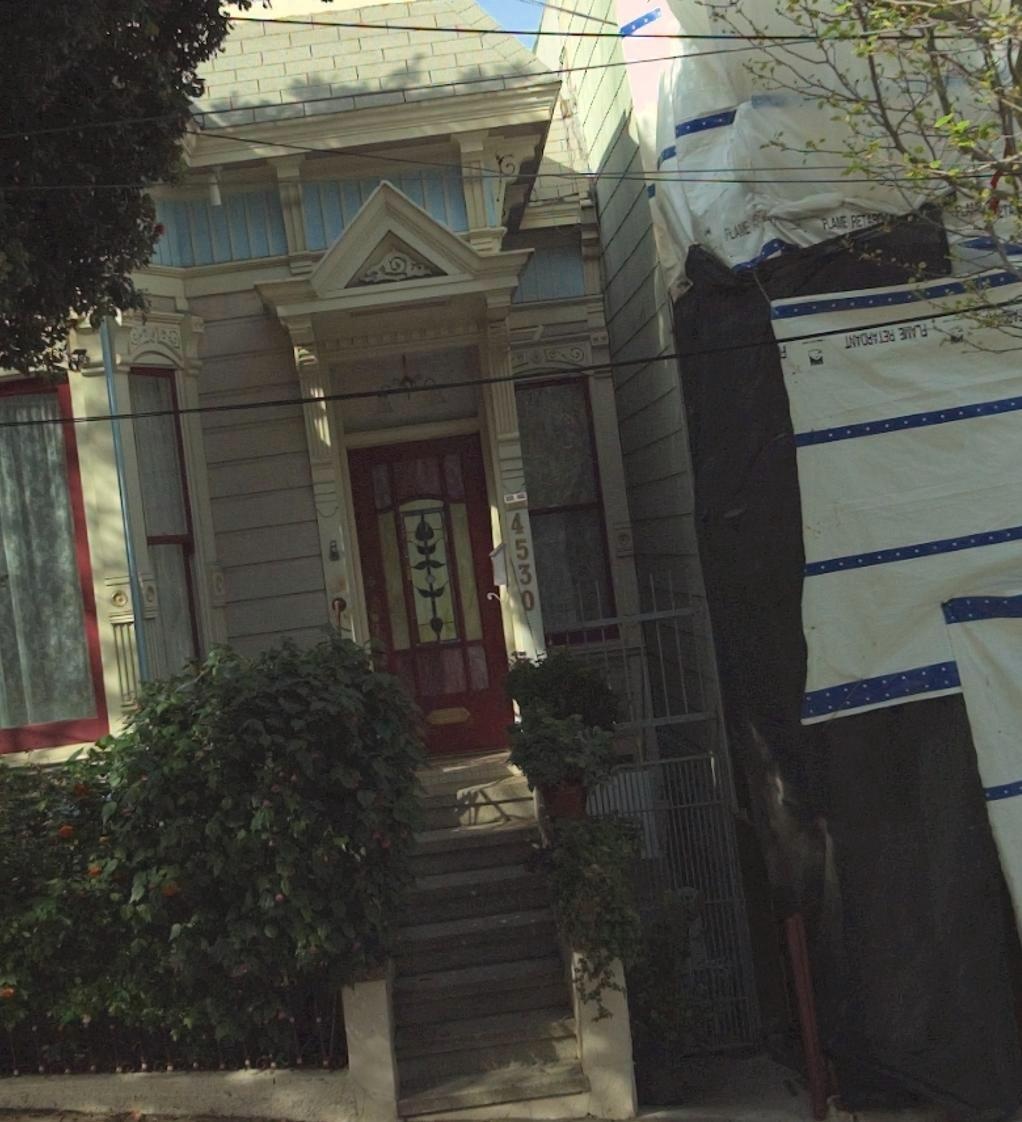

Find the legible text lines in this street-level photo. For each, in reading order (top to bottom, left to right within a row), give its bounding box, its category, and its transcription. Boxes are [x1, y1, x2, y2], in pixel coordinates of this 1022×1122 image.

[722, 219, 754, 245] None: FLA*E
[820, 212, 876, 232] None: FLAME RETA*
[508, 511, 537, 614] StreetNumber: 4530